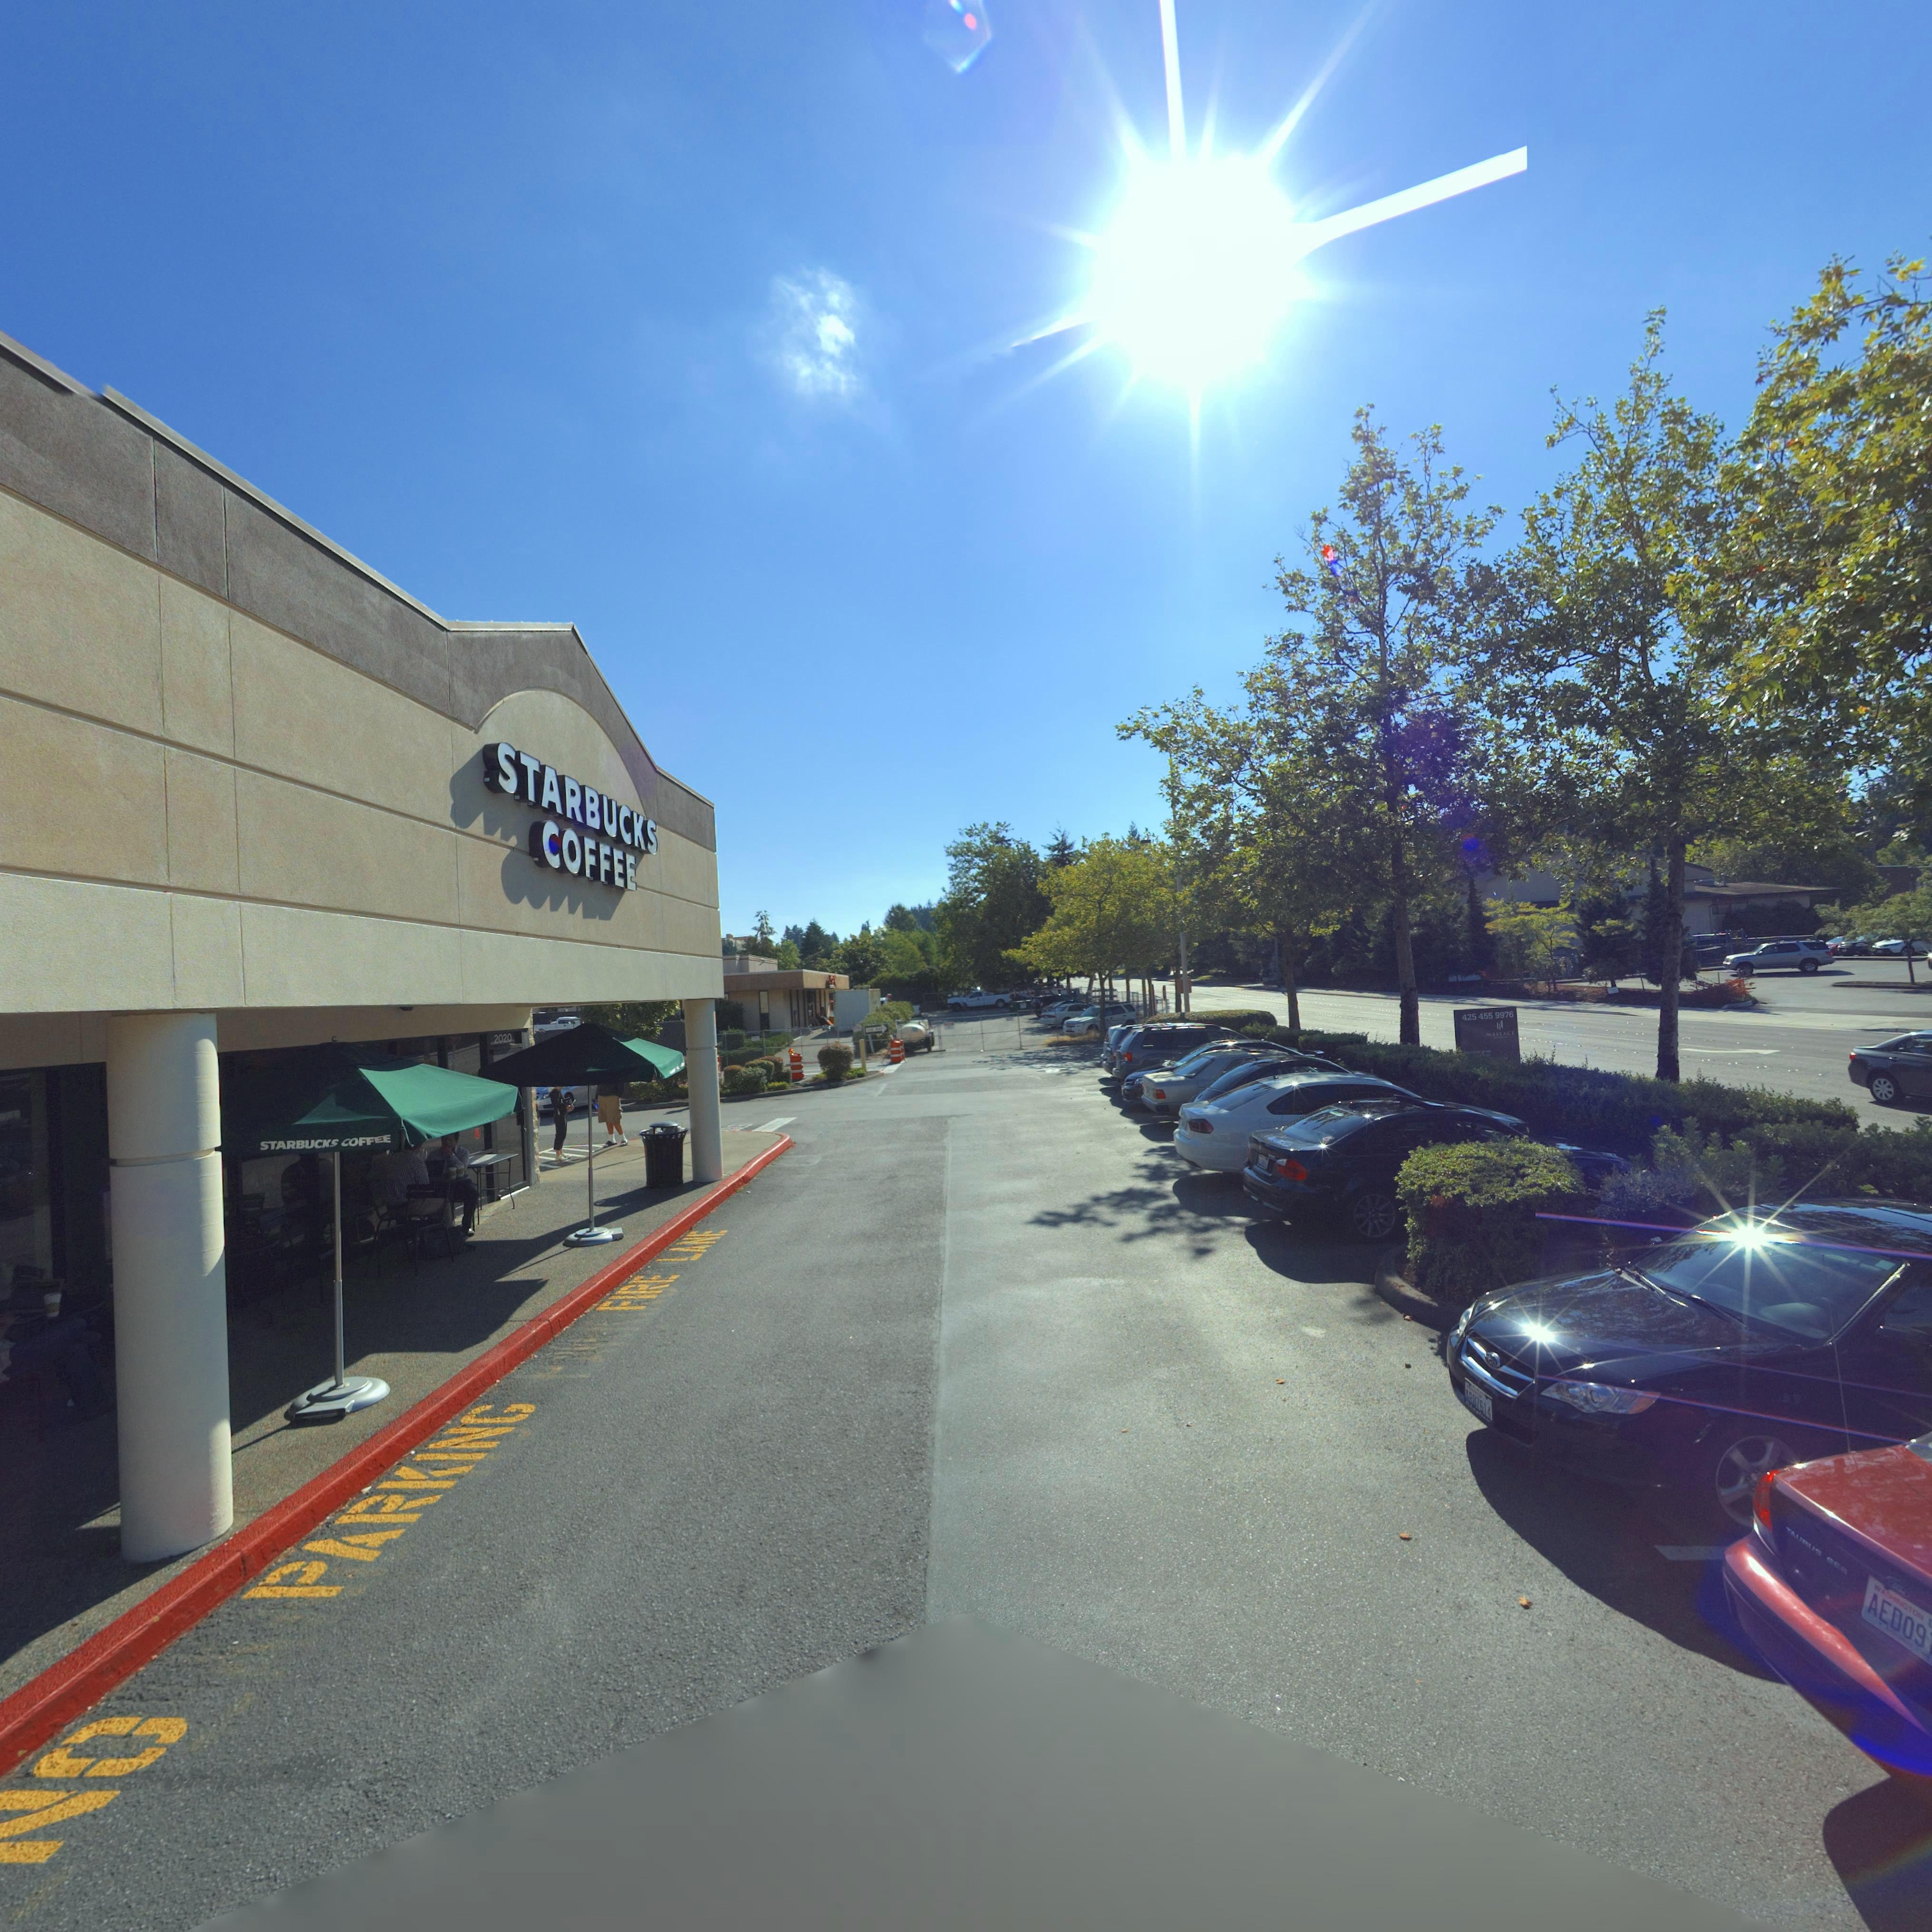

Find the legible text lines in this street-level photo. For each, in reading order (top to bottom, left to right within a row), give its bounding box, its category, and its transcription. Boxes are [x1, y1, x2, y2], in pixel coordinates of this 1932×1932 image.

[489, 738, 657, 857] BusinessName: STARBUCKS
[541, 819, 638, 892] BusinessName: COFFEE
[1487, 1030, 1515, 1037] BusinessName: WALLACE
[258, 1131, 392, 1151] BusinessName: STARBUCKS COFFEE